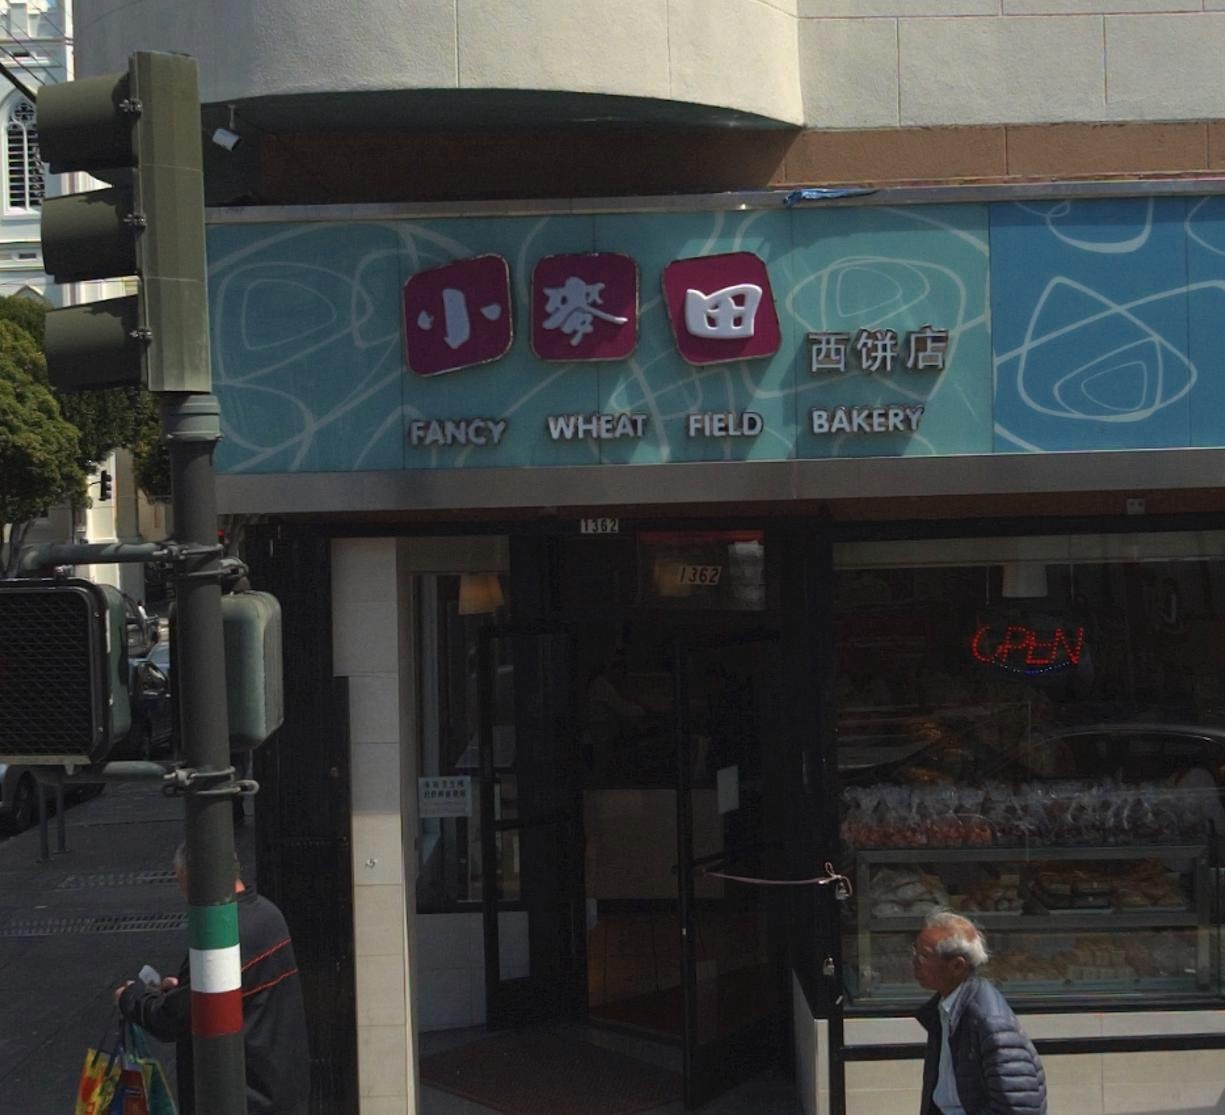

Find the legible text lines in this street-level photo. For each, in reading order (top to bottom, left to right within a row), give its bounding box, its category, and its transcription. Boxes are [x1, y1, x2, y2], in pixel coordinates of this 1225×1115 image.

[408, 406, 926, 448] BusinessName: FANCY WHEAT FIELD BAKERY
[580, 517, 617, 532] StreetNumber: 1362
[678, 566, 721, 584] StreetNumber: 1362
[969, 624, 1085, 667] None: *P*N